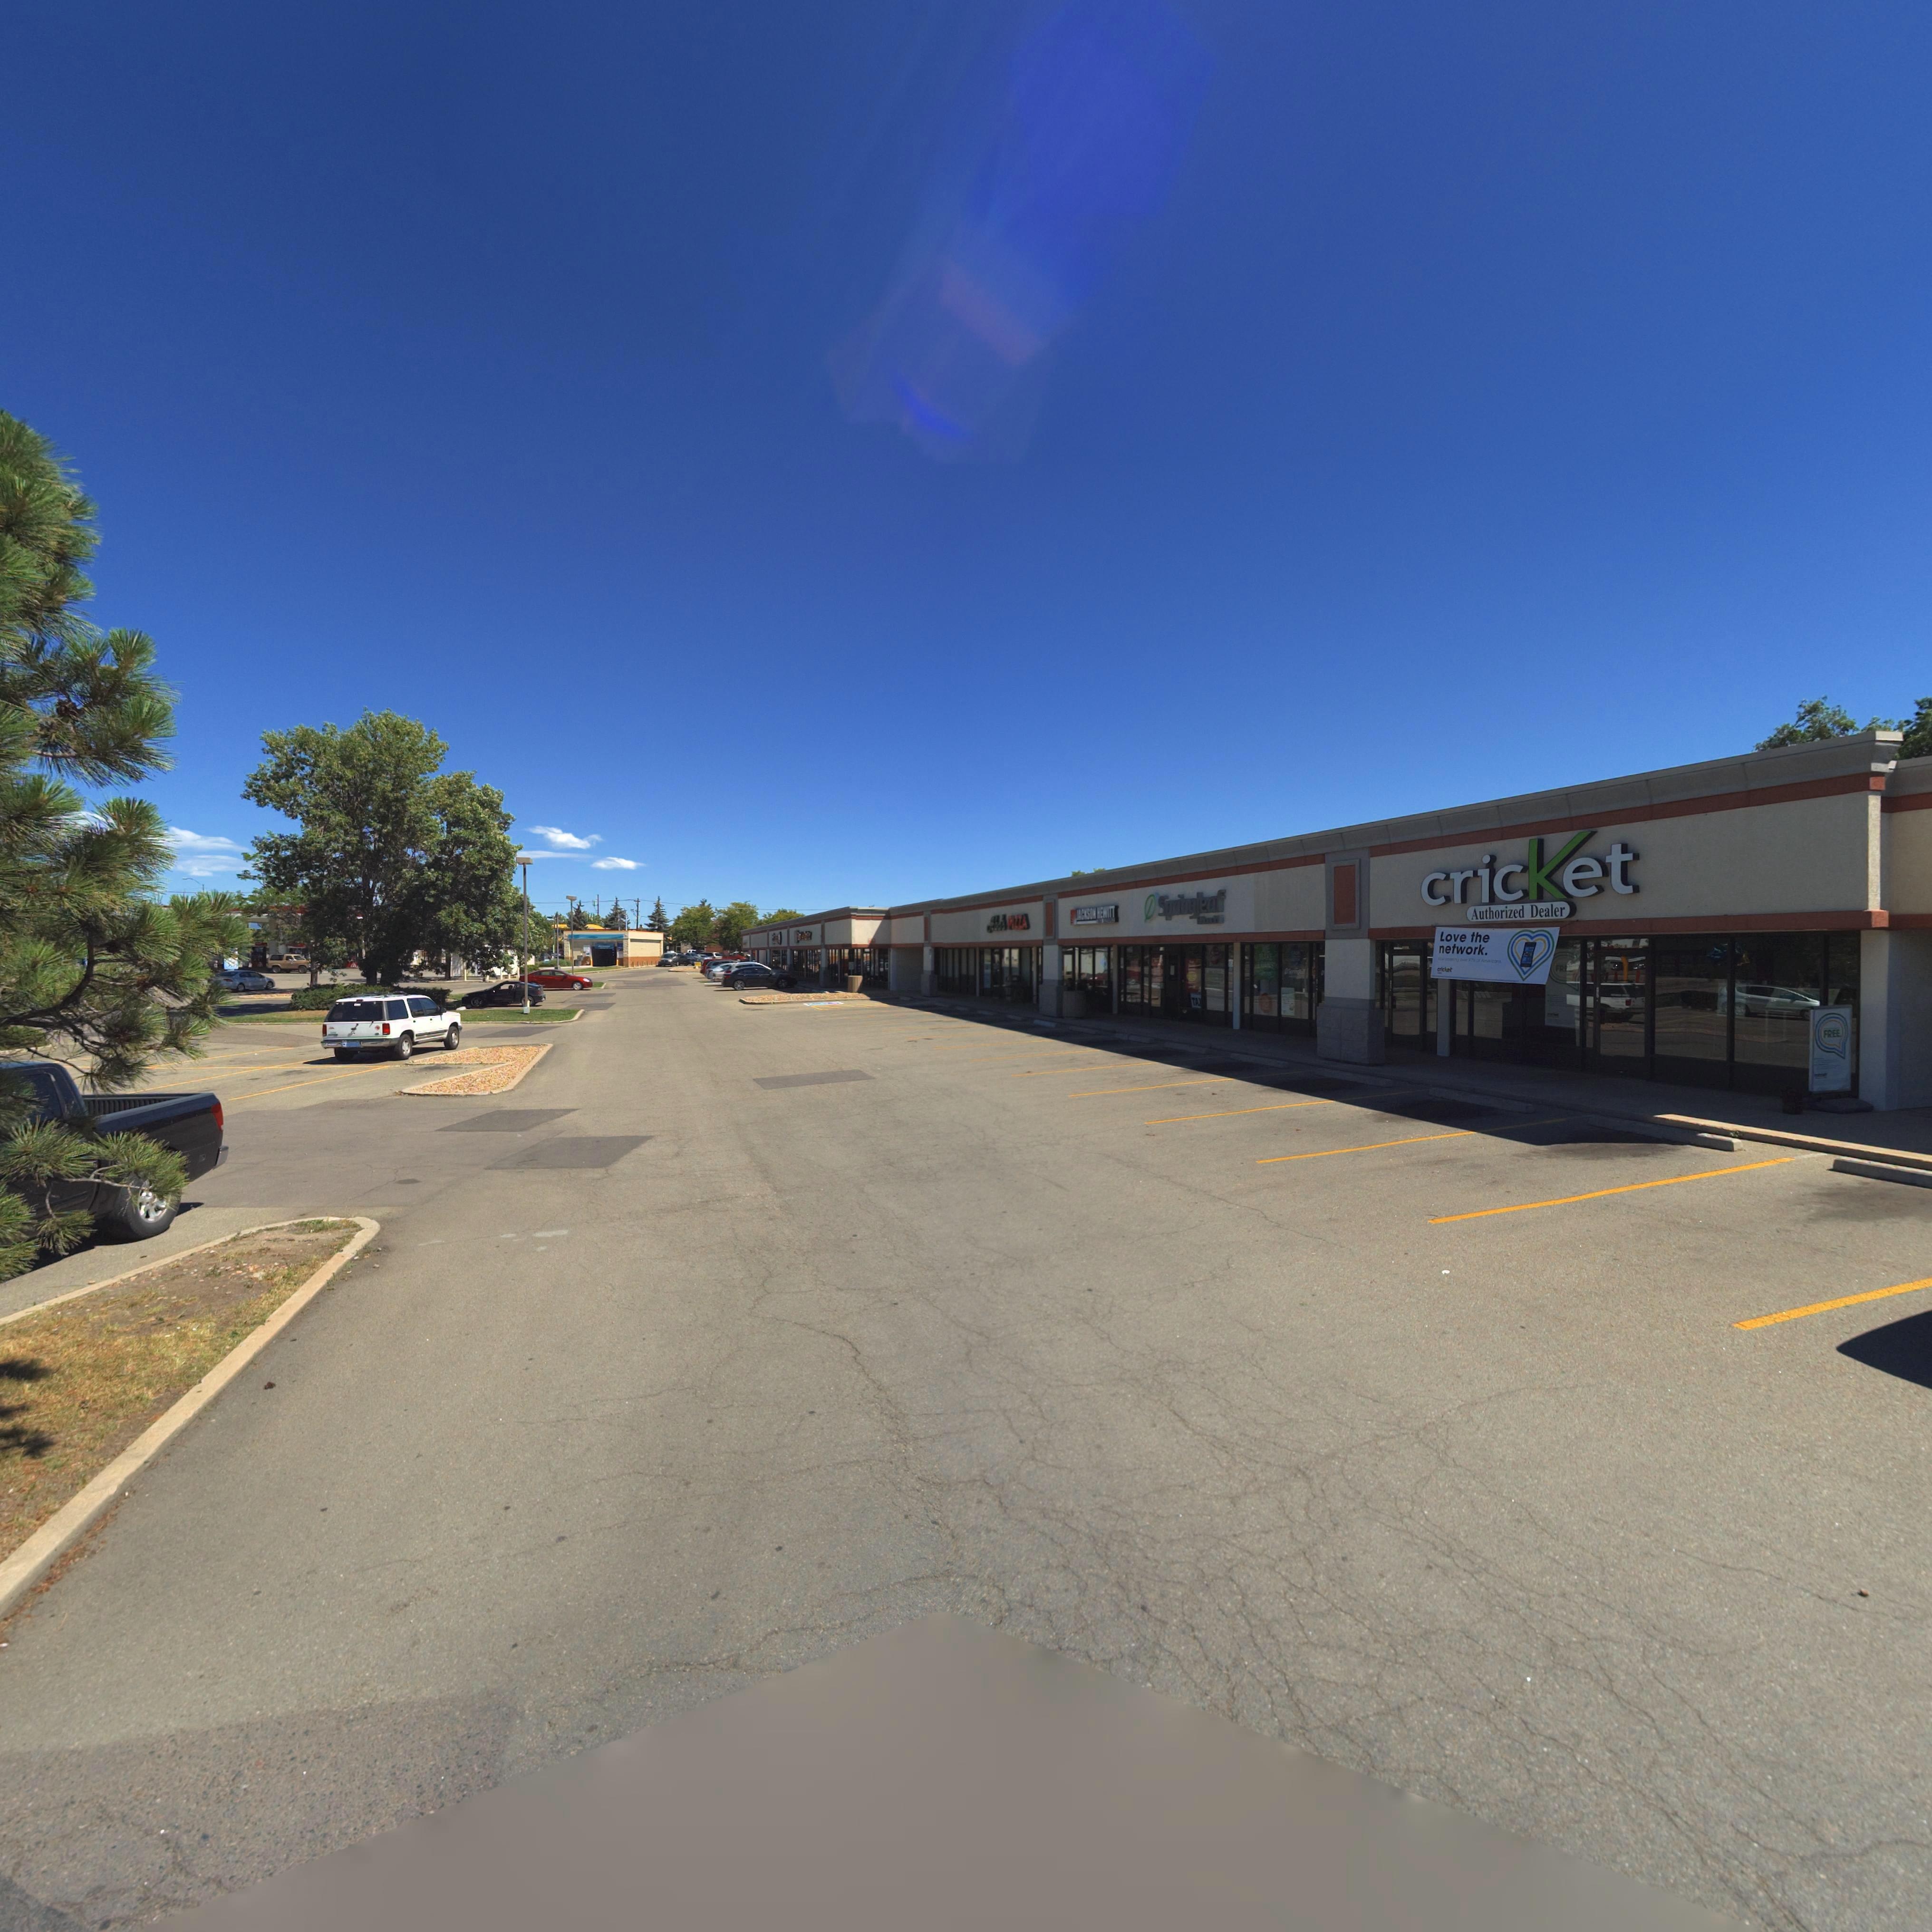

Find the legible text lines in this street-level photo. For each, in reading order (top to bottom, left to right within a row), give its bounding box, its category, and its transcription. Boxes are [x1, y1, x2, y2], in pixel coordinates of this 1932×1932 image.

[1420, 831, 1633, 906] BusinessName: cricket
[1077, 905, 1115, 920] BusinessName: JACKSON HEWITT
[1157, 889, 1227, 920] BusinessName: Springleaf
[986, 914, 1029, 932] BusinessName: Abo's PIZZA
[1287, 968, 1305, 976] BusinessName: S*r*ngl***
[1437, 966, 1453, 972] BusinessName: cricket